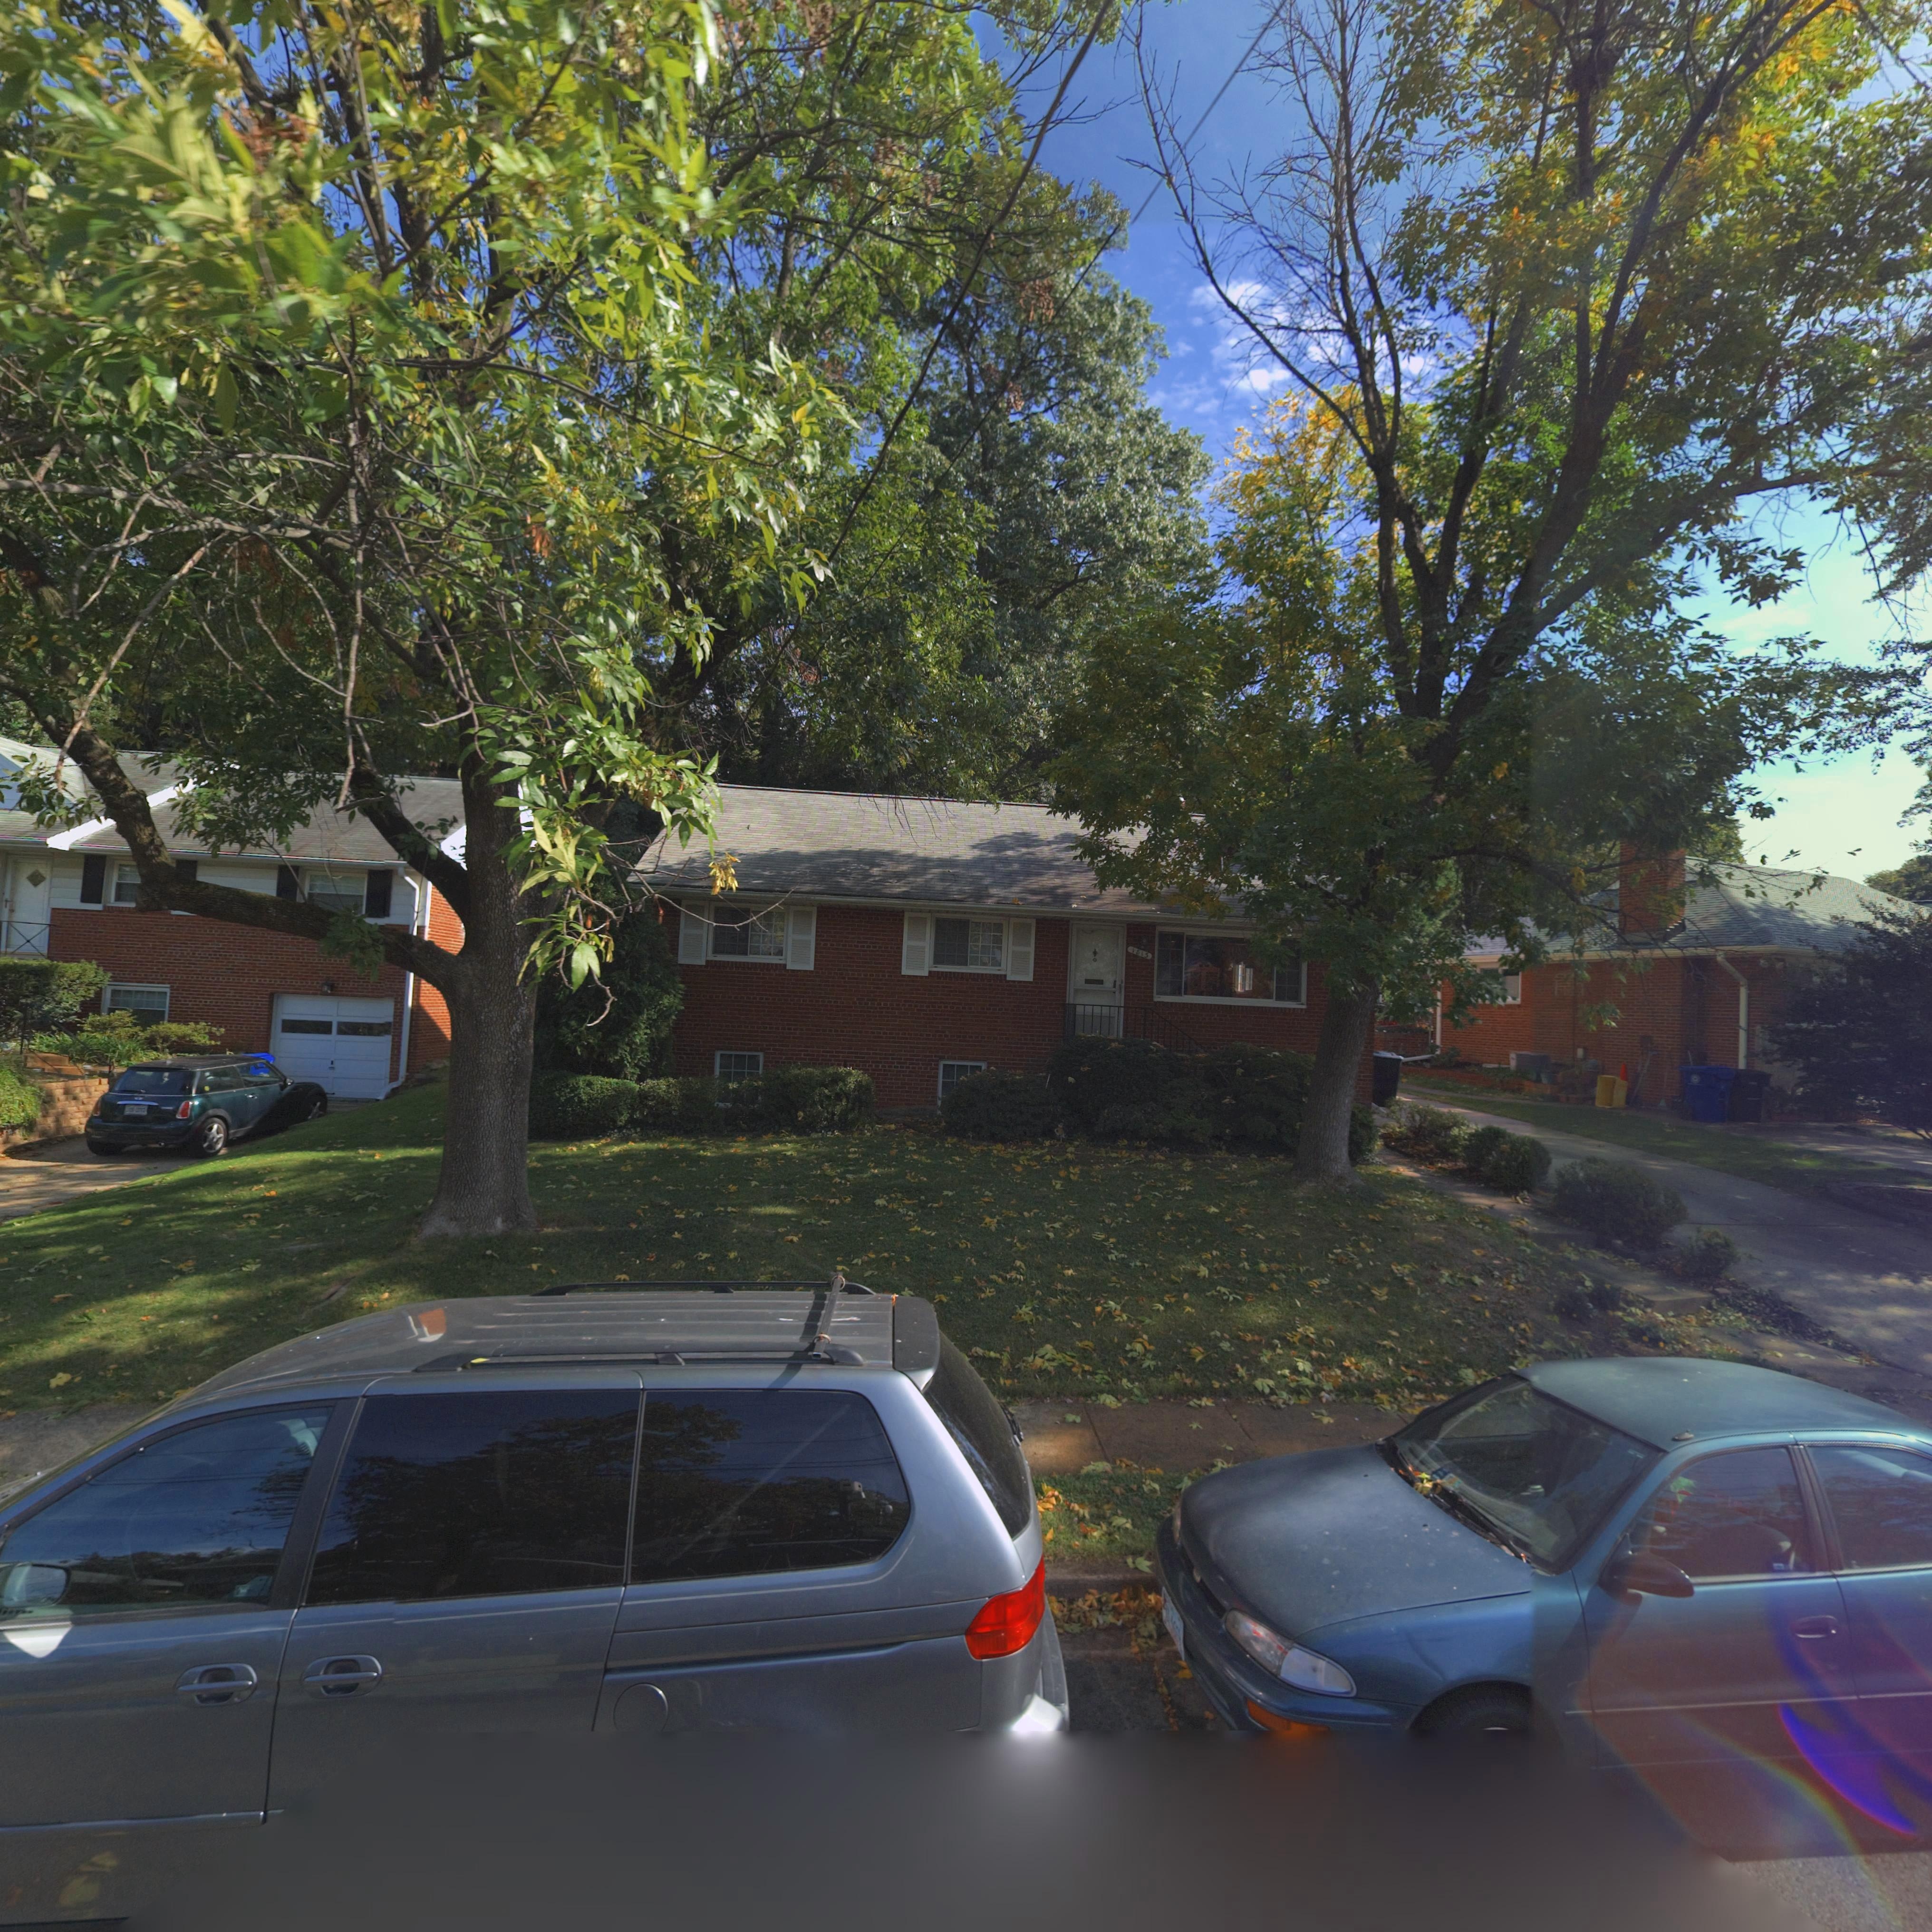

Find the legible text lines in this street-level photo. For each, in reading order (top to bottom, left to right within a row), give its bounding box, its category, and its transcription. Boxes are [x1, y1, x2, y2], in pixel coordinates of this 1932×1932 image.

[1131, 947, 1149, 959] StreetNumber: 1813
[125, 1107, 146, 1113] None: ***-****